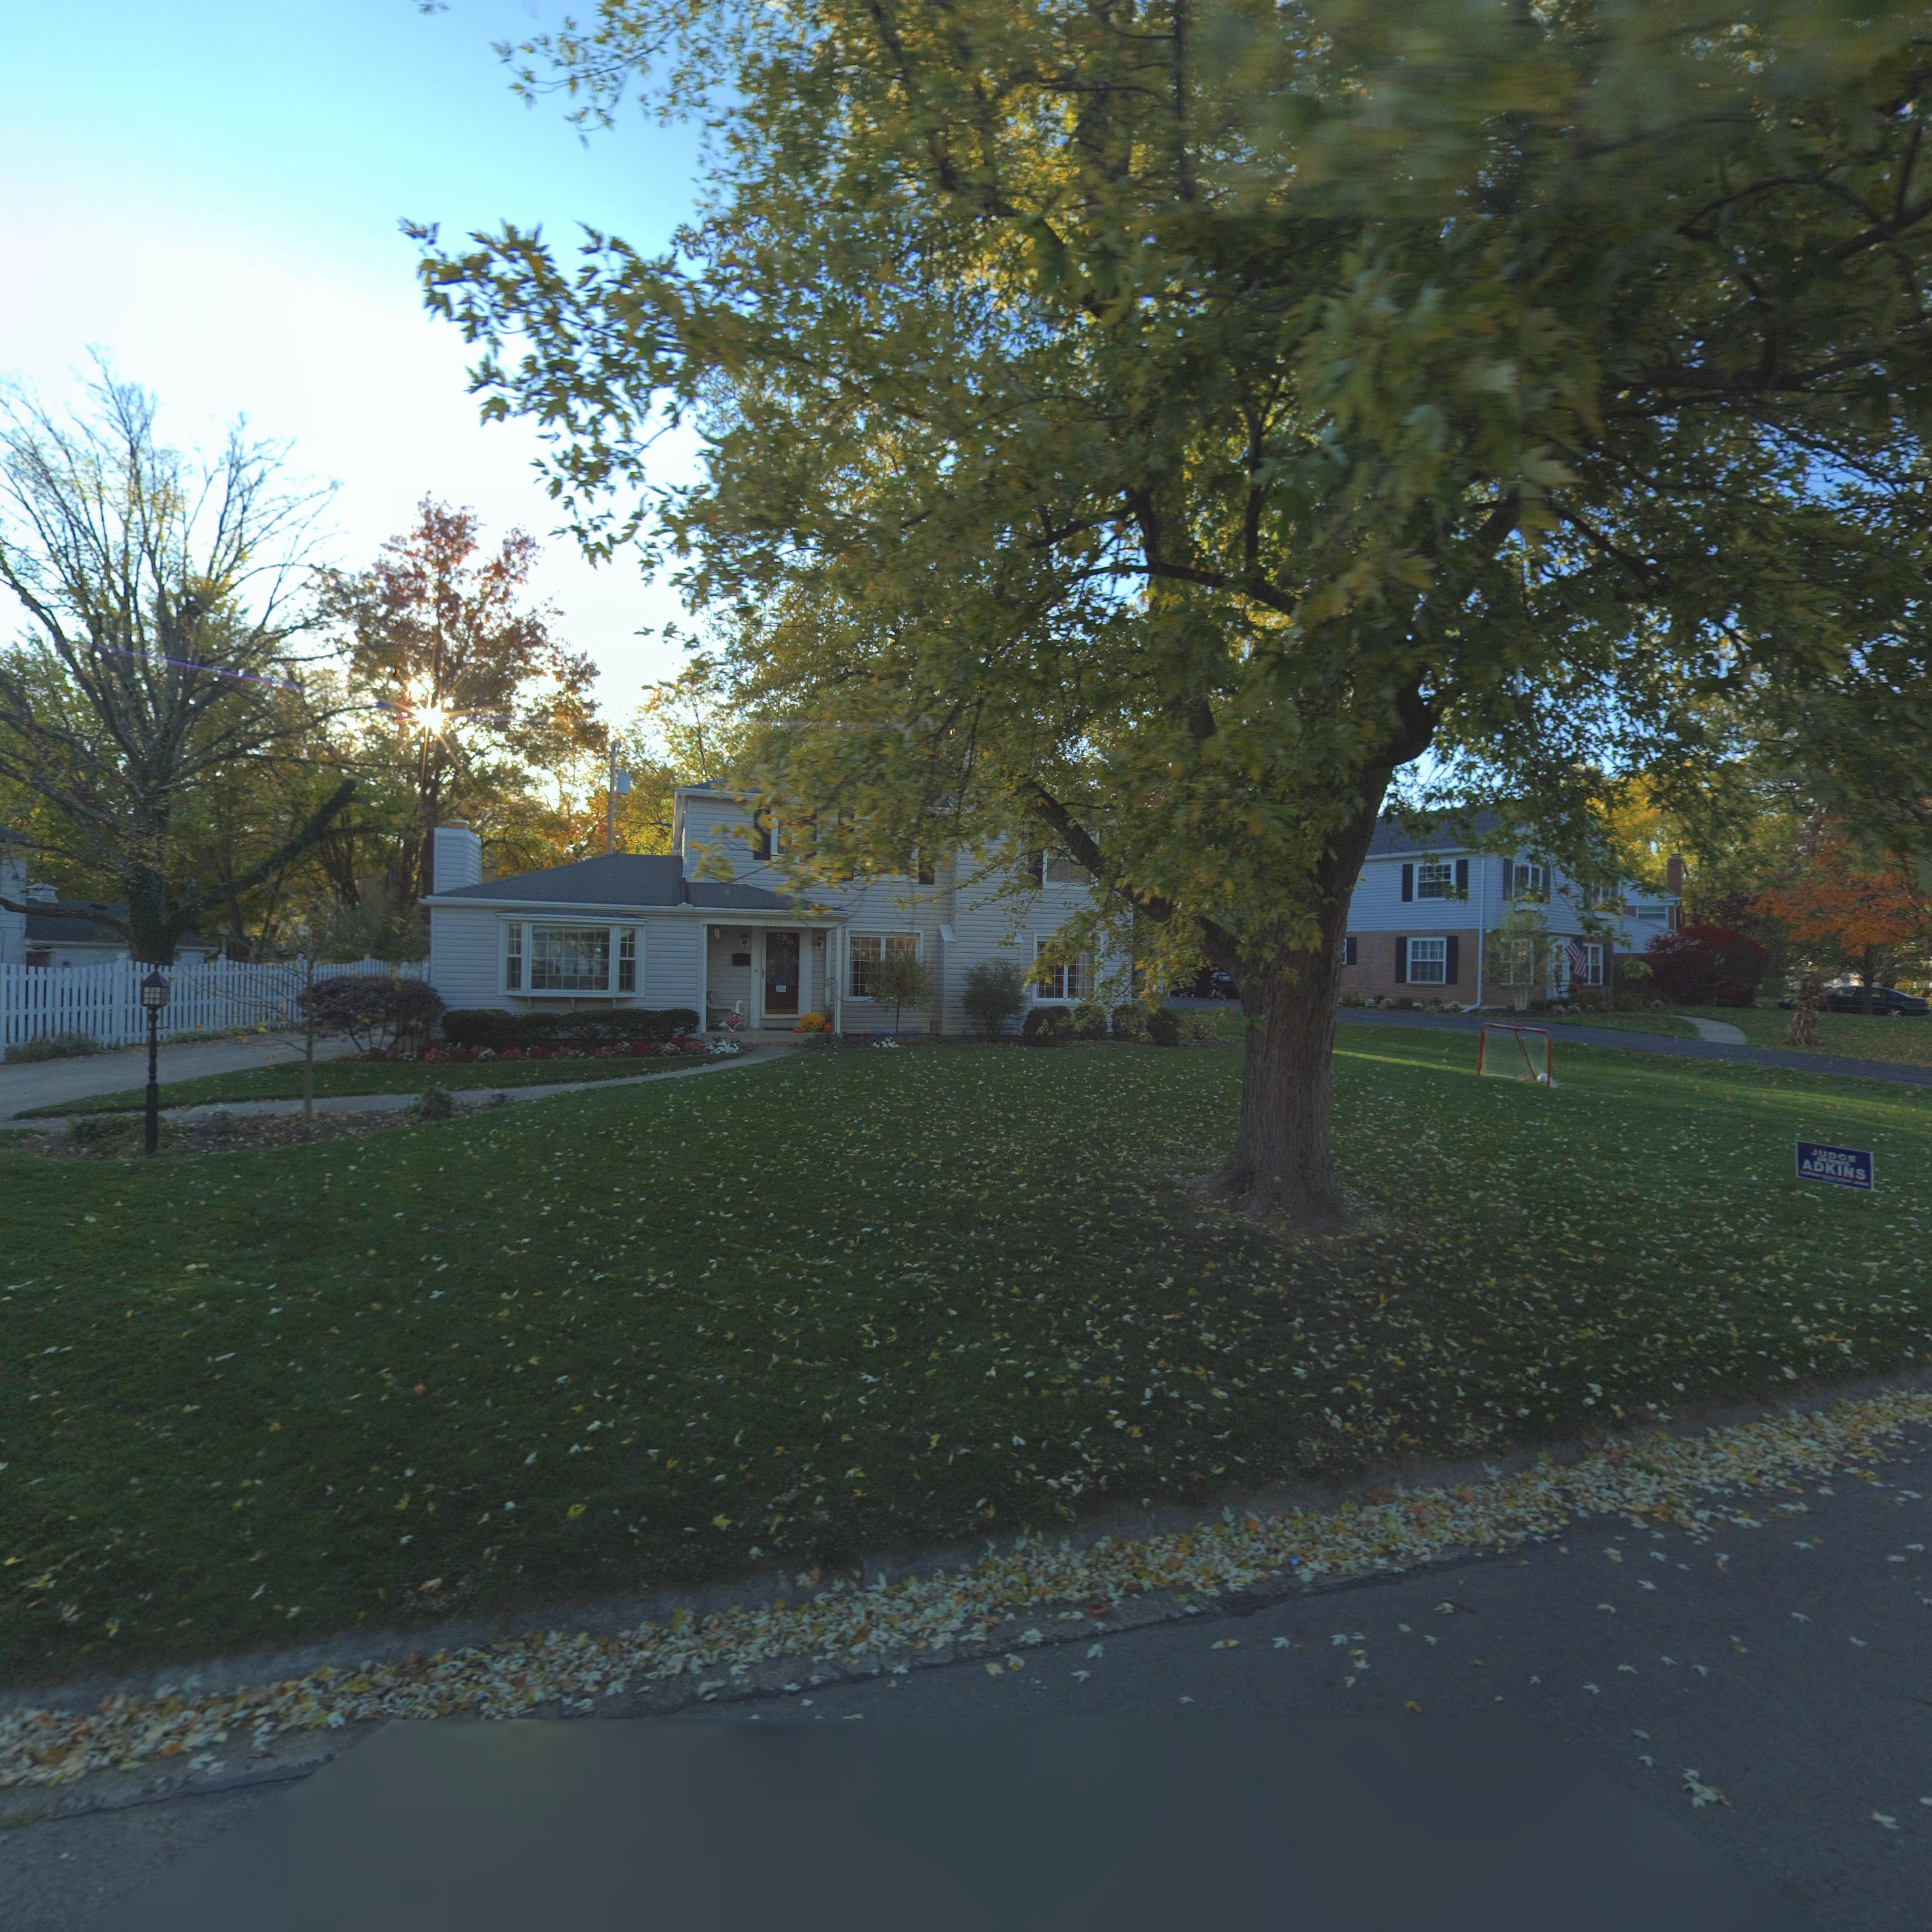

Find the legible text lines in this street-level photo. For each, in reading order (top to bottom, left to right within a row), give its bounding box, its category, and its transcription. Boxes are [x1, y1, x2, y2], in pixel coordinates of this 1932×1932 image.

[763, 918, 782, 926] StreetNumber: 31**